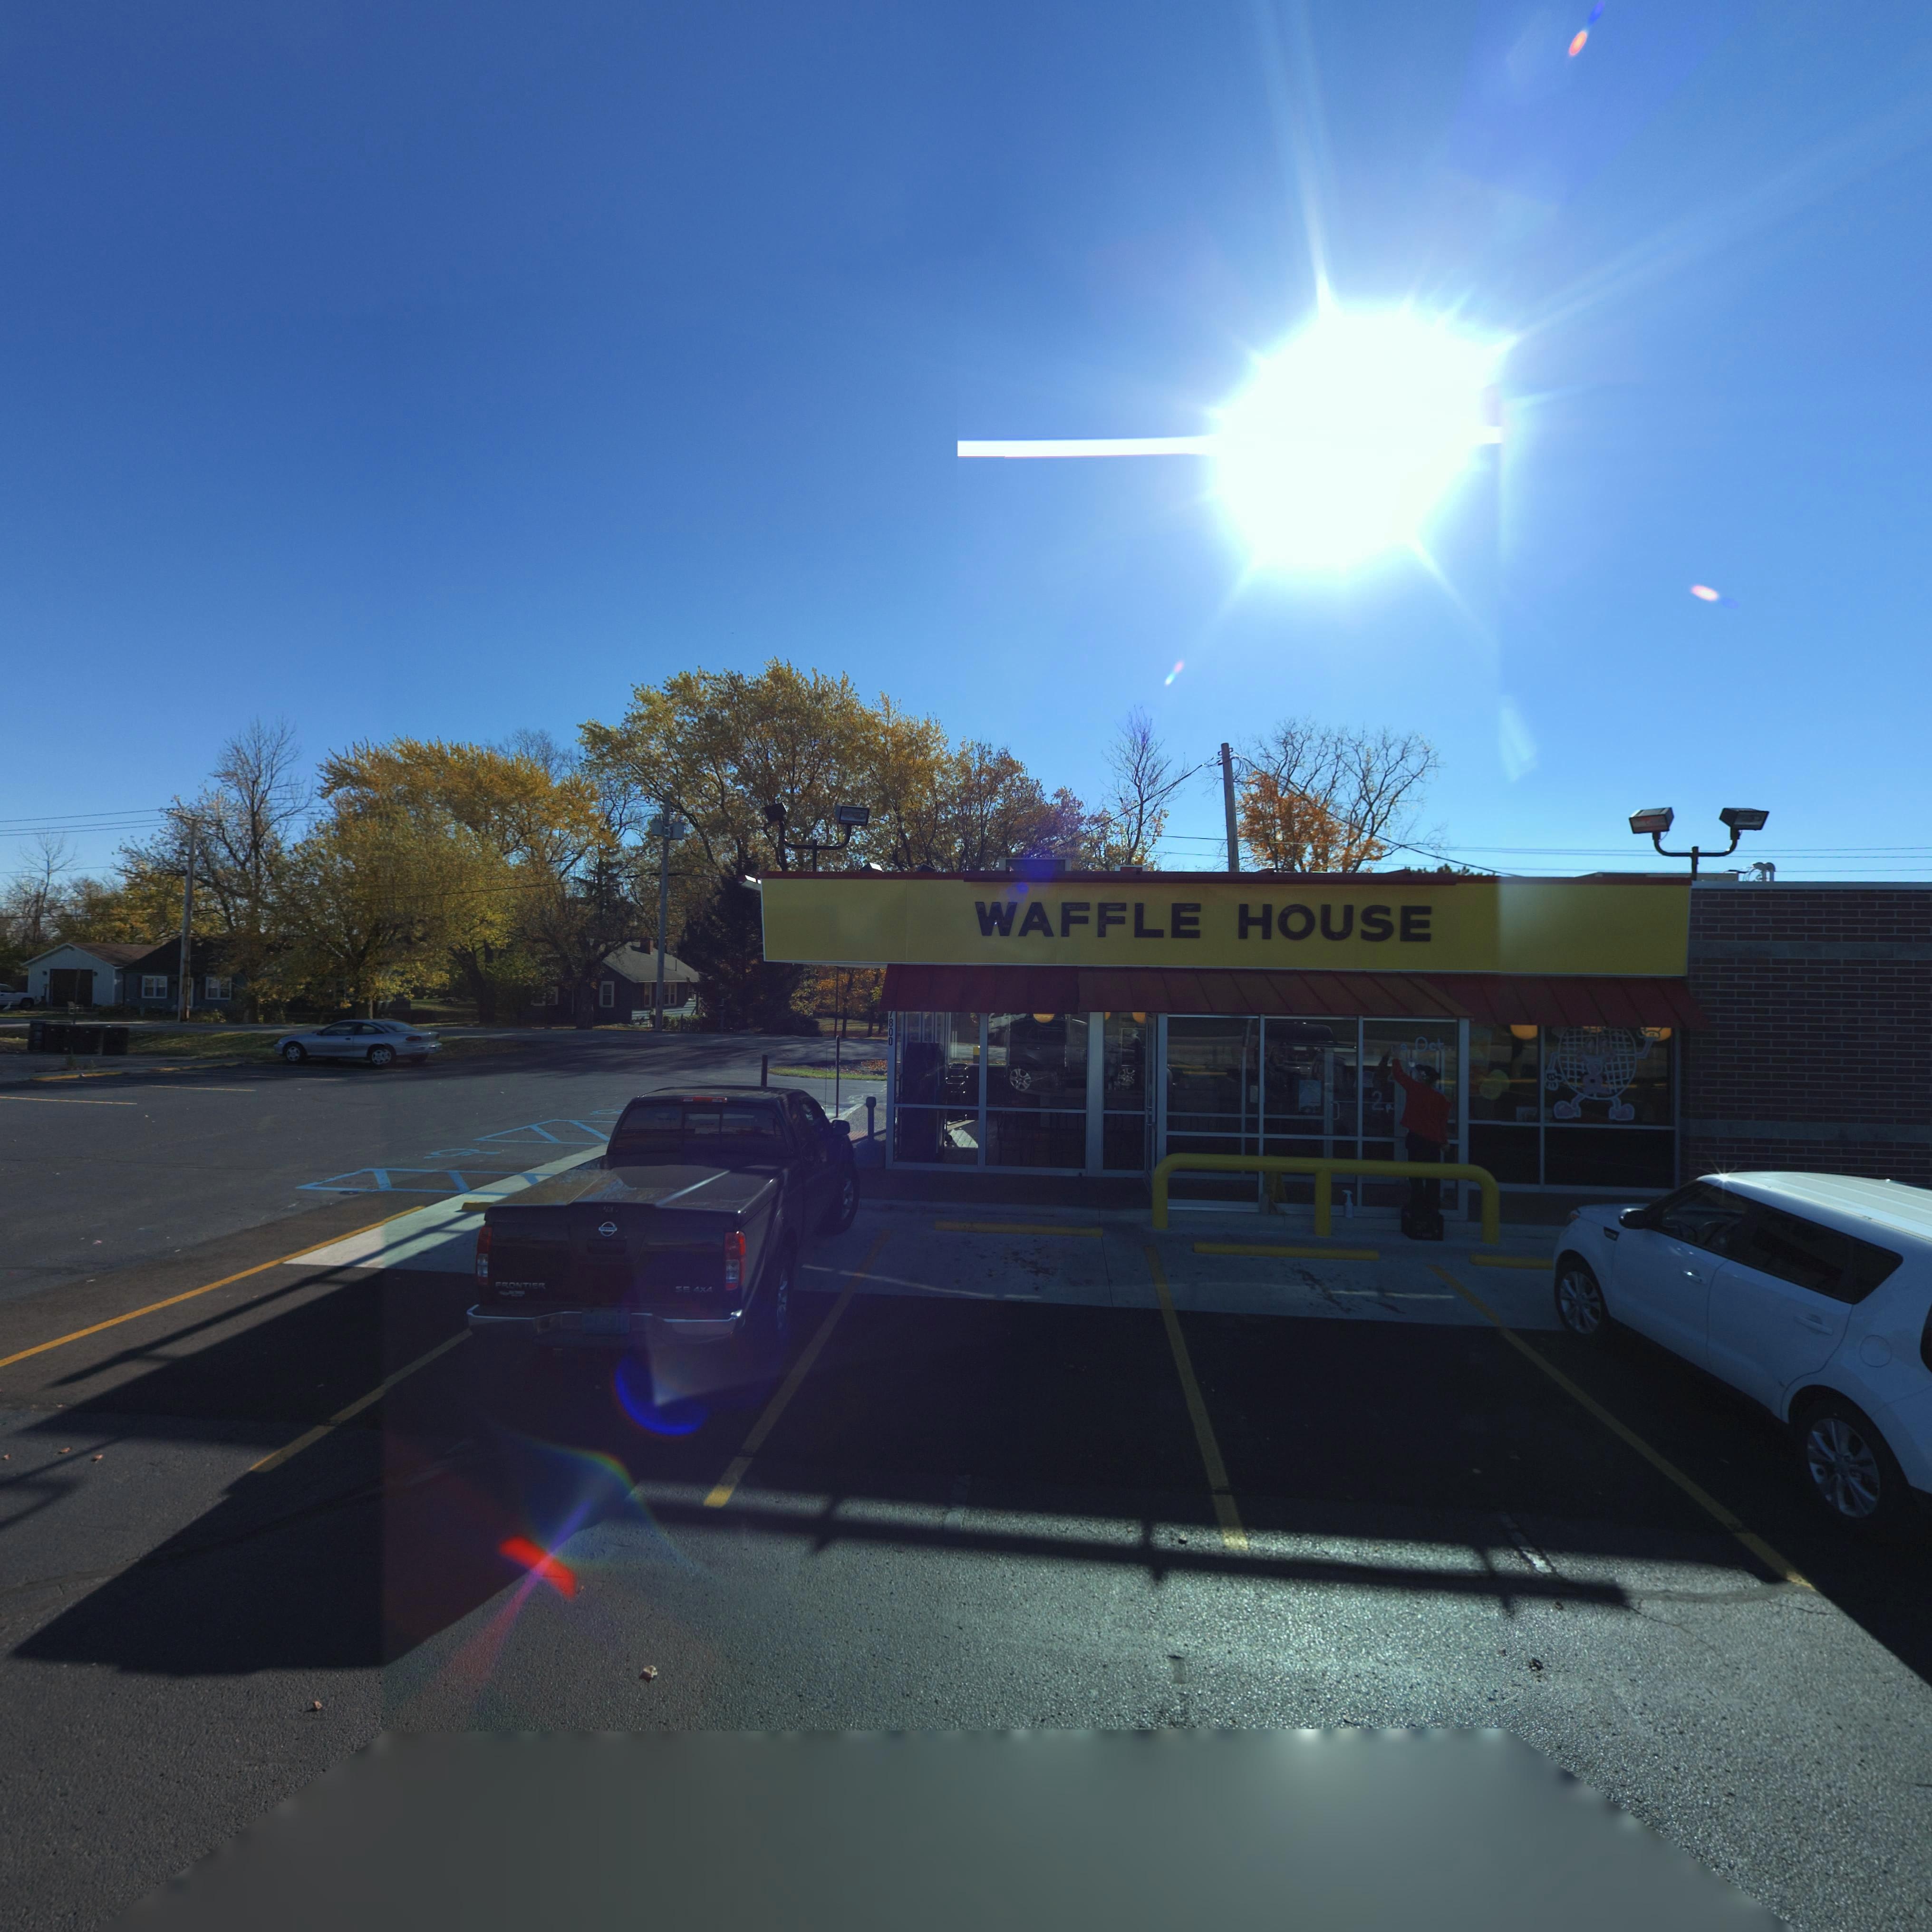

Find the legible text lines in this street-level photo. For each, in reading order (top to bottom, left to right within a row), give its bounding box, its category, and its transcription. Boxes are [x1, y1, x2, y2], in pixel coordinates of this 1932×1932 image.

[888, 1018, 894, 1046] StreetNumber: 800